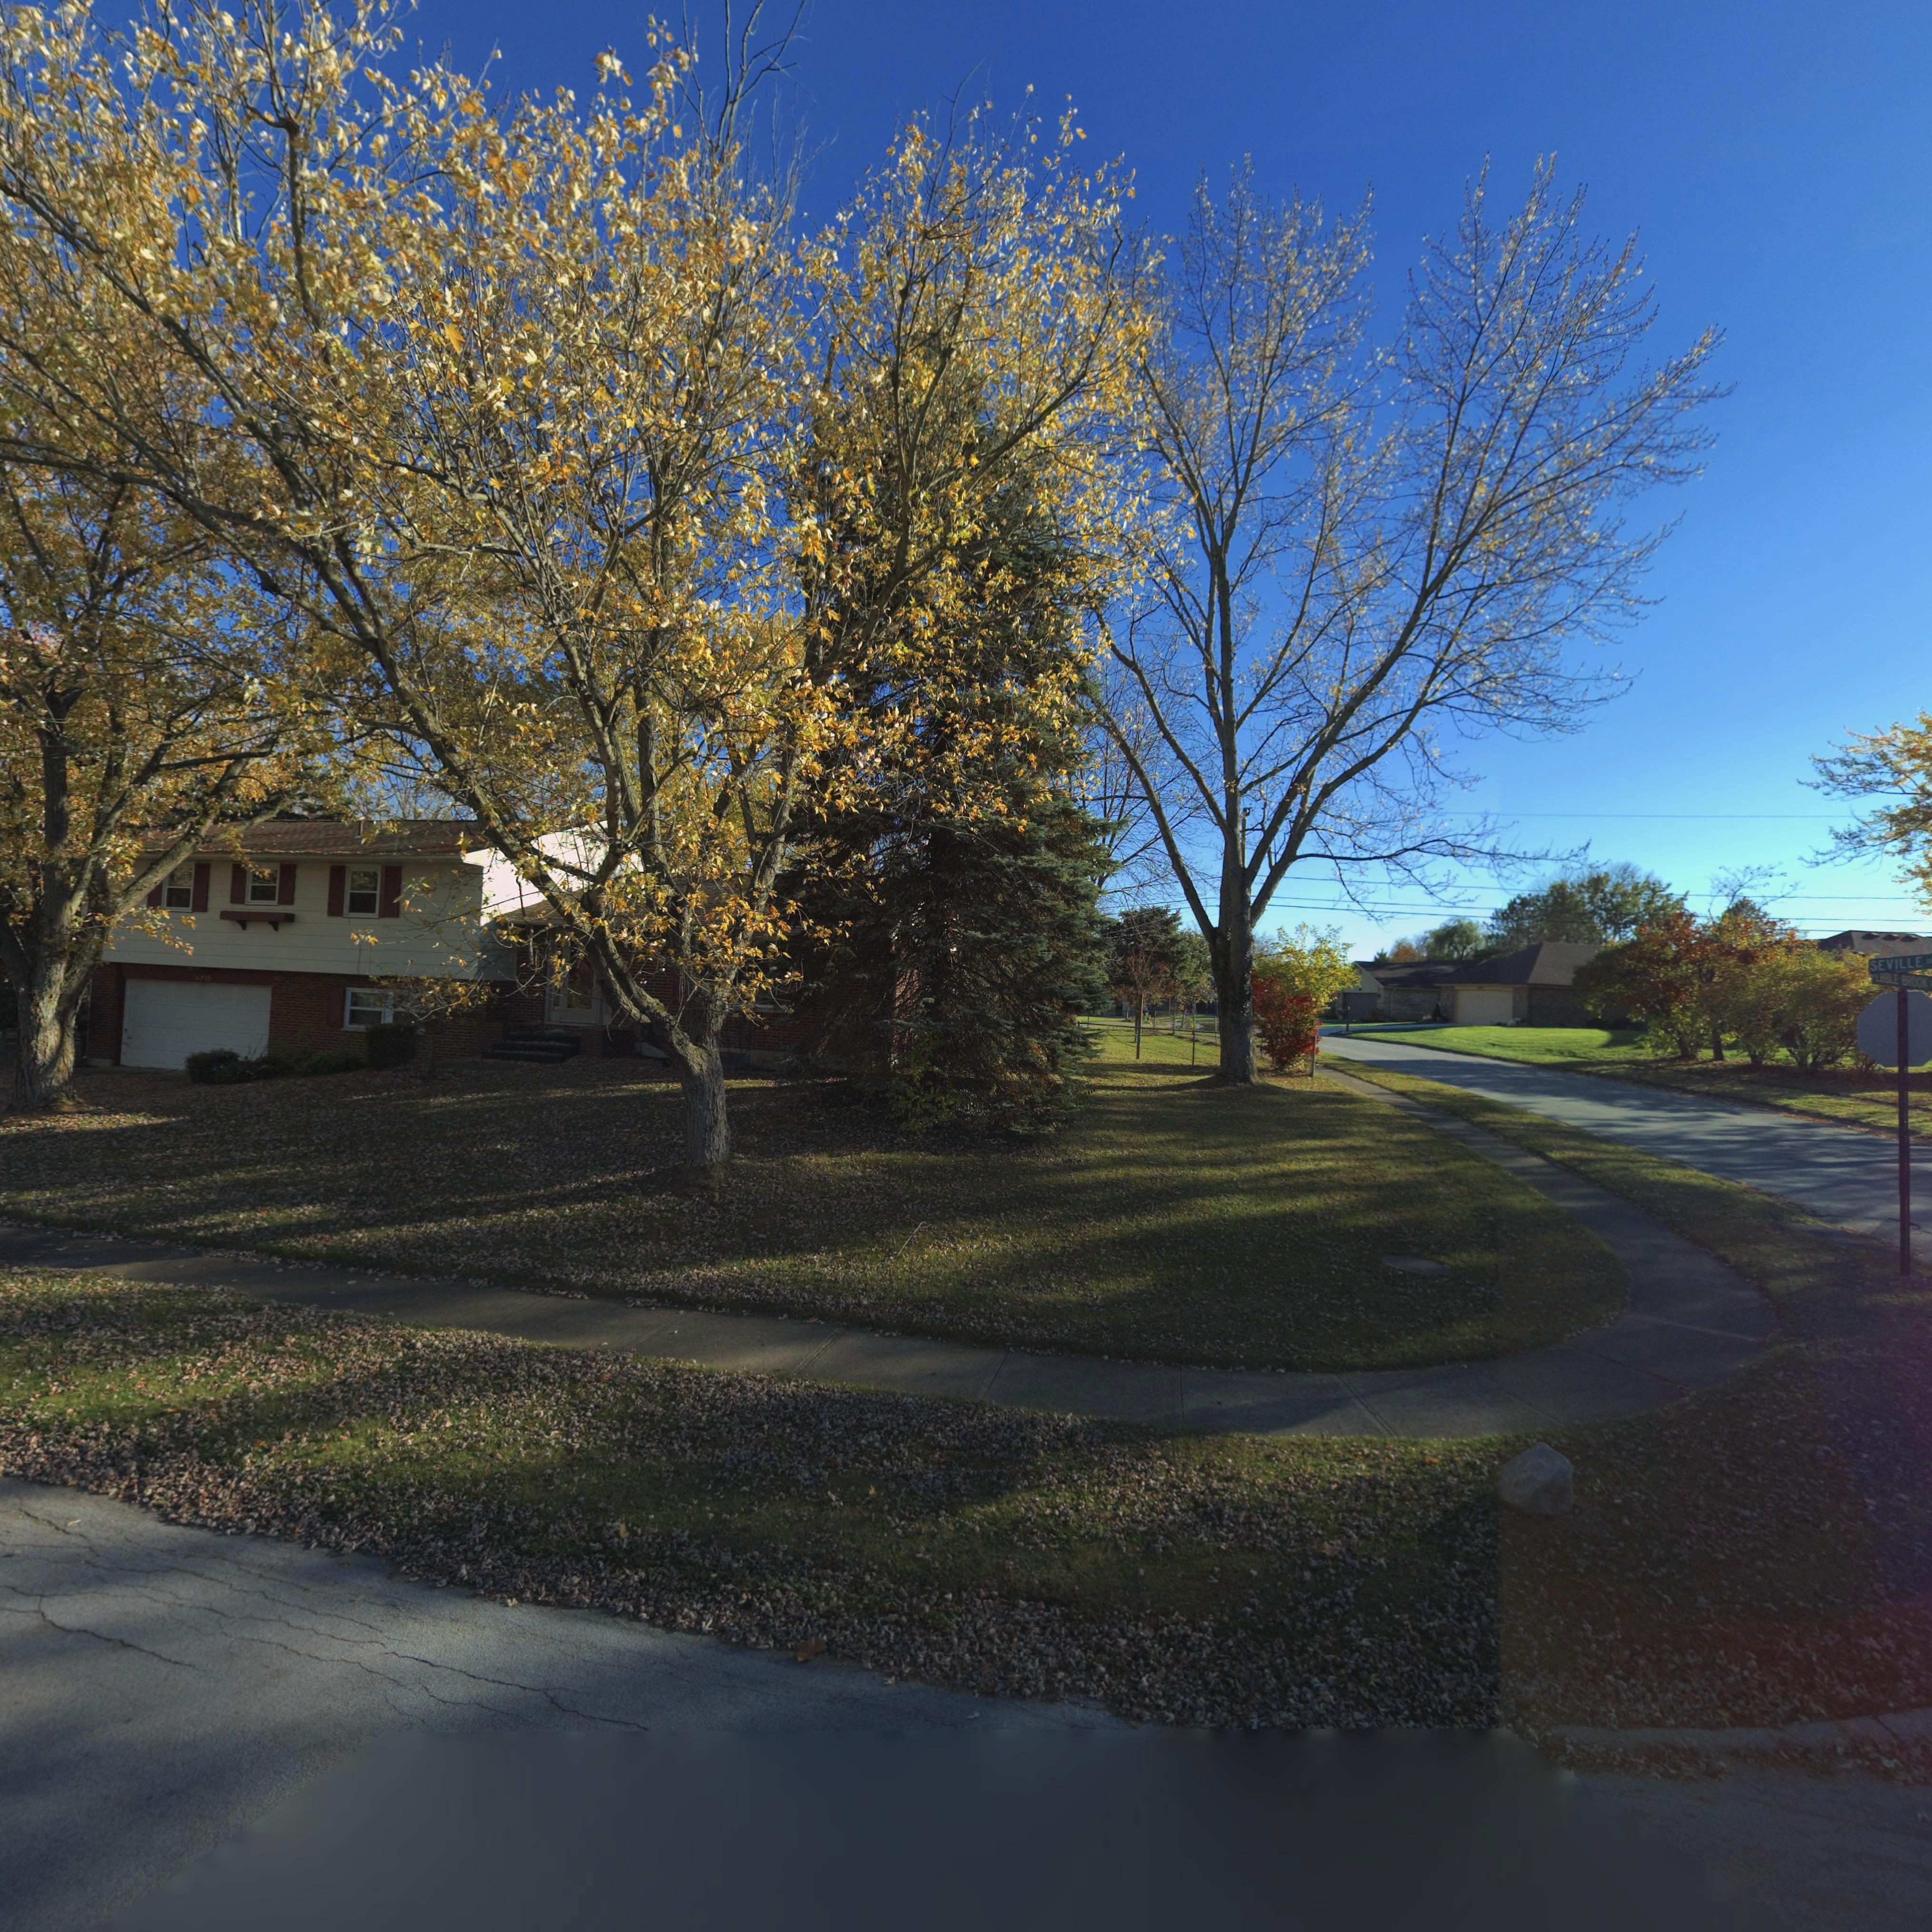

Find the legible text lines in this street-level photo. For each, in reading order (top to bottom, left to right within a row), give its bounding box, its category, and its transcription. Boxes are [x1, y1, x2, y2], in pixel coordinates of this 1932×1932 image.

[194, 975, 212, 983] StreetNumber: 4710